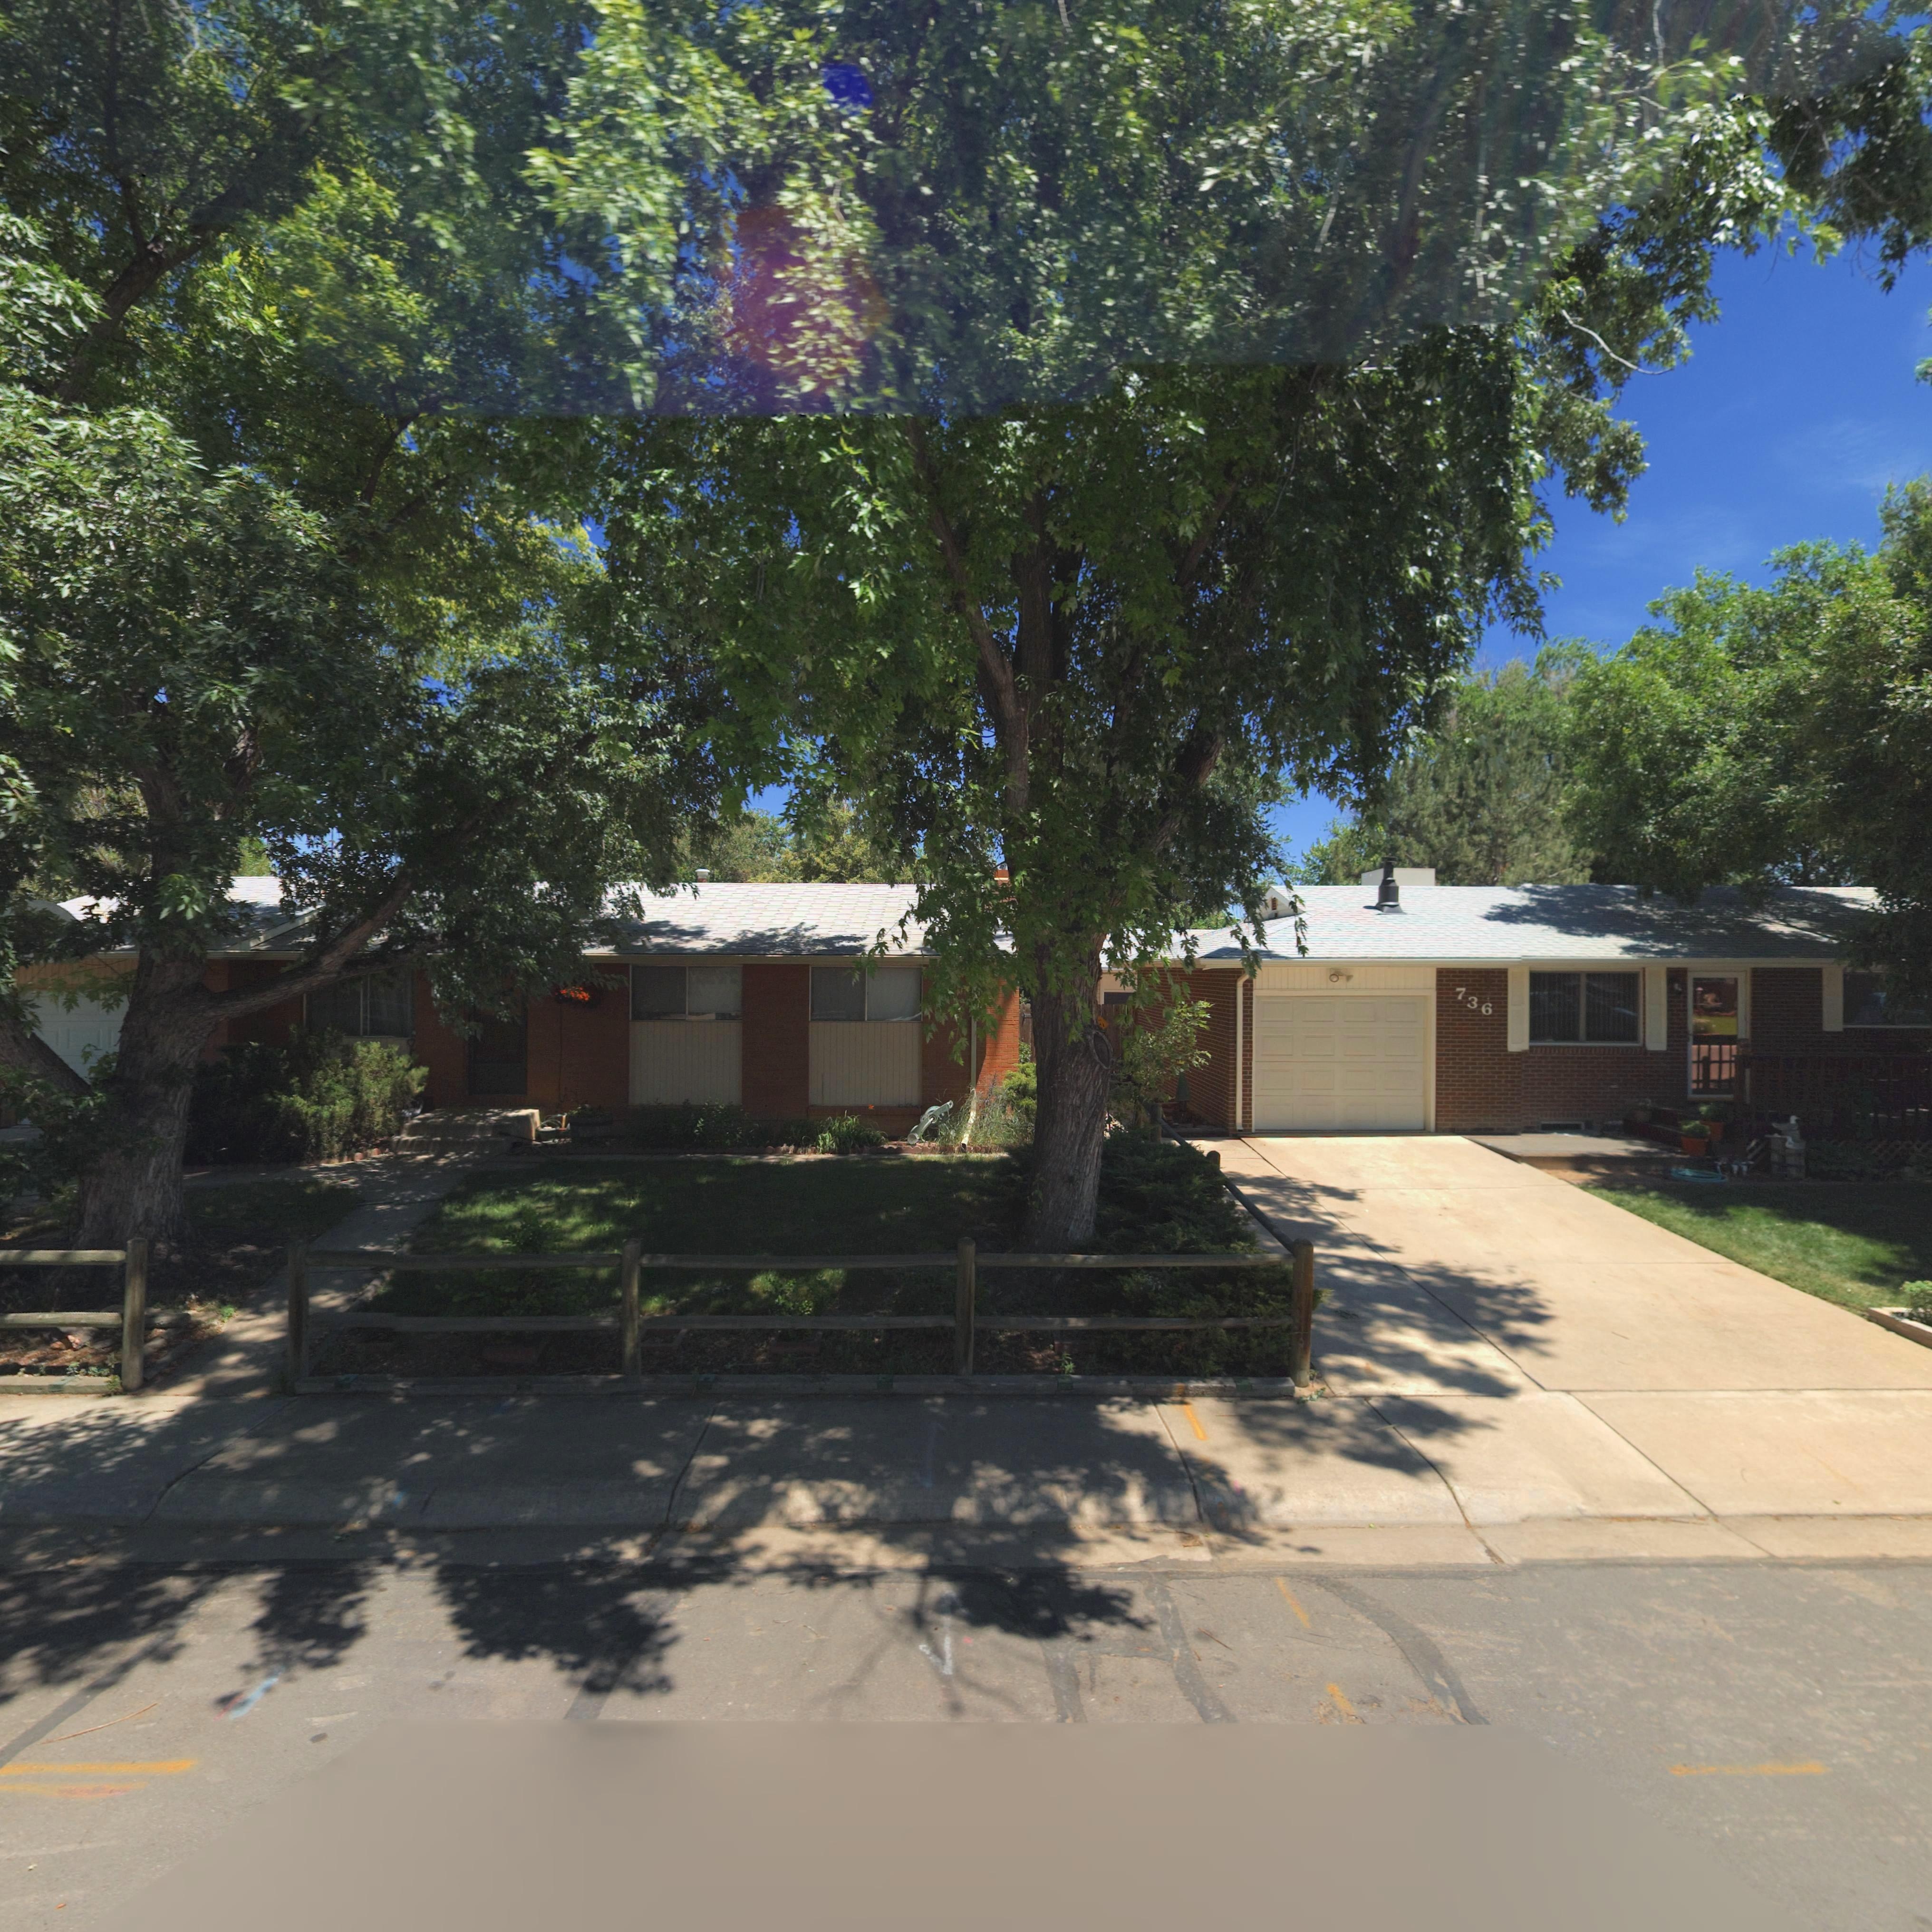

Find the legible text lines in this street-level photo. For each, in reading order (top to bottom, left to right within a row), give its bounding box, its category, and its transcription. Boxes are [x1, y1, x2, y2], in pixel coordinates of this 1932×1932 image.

[1455, 986, 1493, 1015] StreetNumber: 736